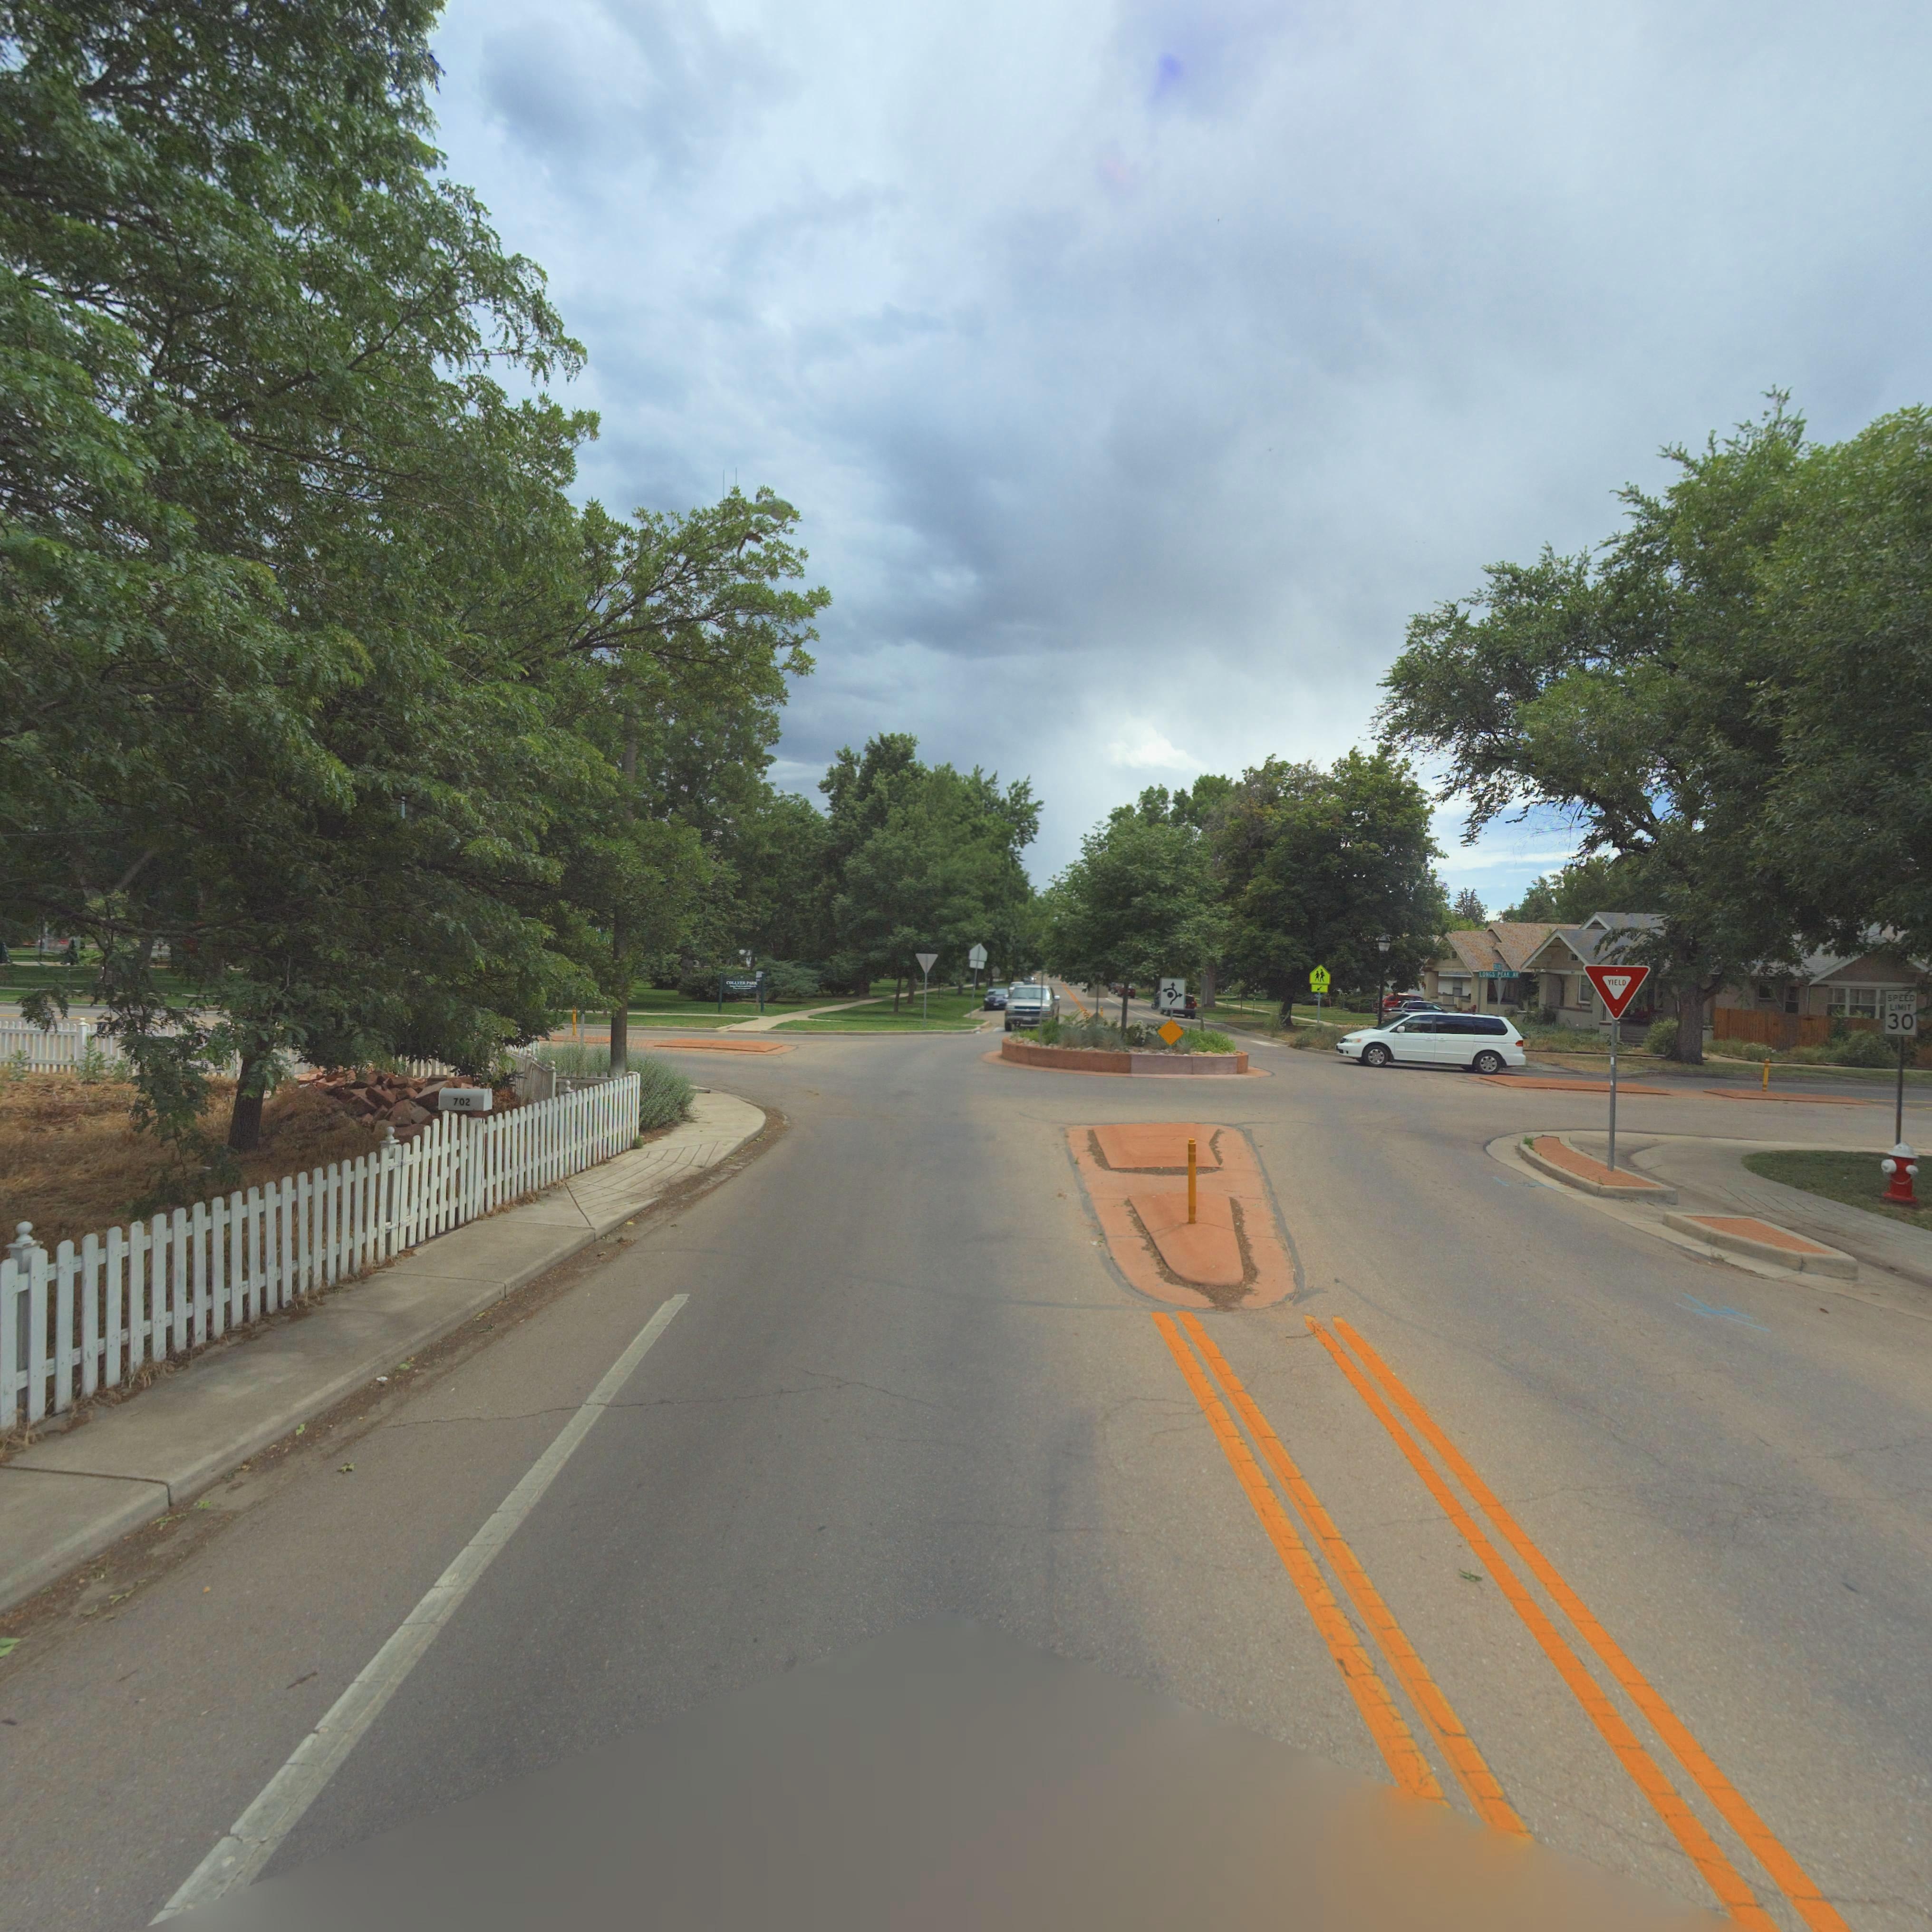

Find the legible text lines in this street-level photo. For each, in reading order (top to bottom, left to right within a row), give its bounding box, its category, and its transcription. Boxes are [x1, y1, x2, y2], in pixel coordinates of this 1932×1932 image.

[1493, 964, 1501, 970] StreetName: COLLYER **
[1478, 971, 1519, 977] StreetName: LONGS PEAK AV
[725, 981, 758, 985] BusinessName: COLLYER PARK
[453, 1097, 470, 1106] StreetNumber: 702